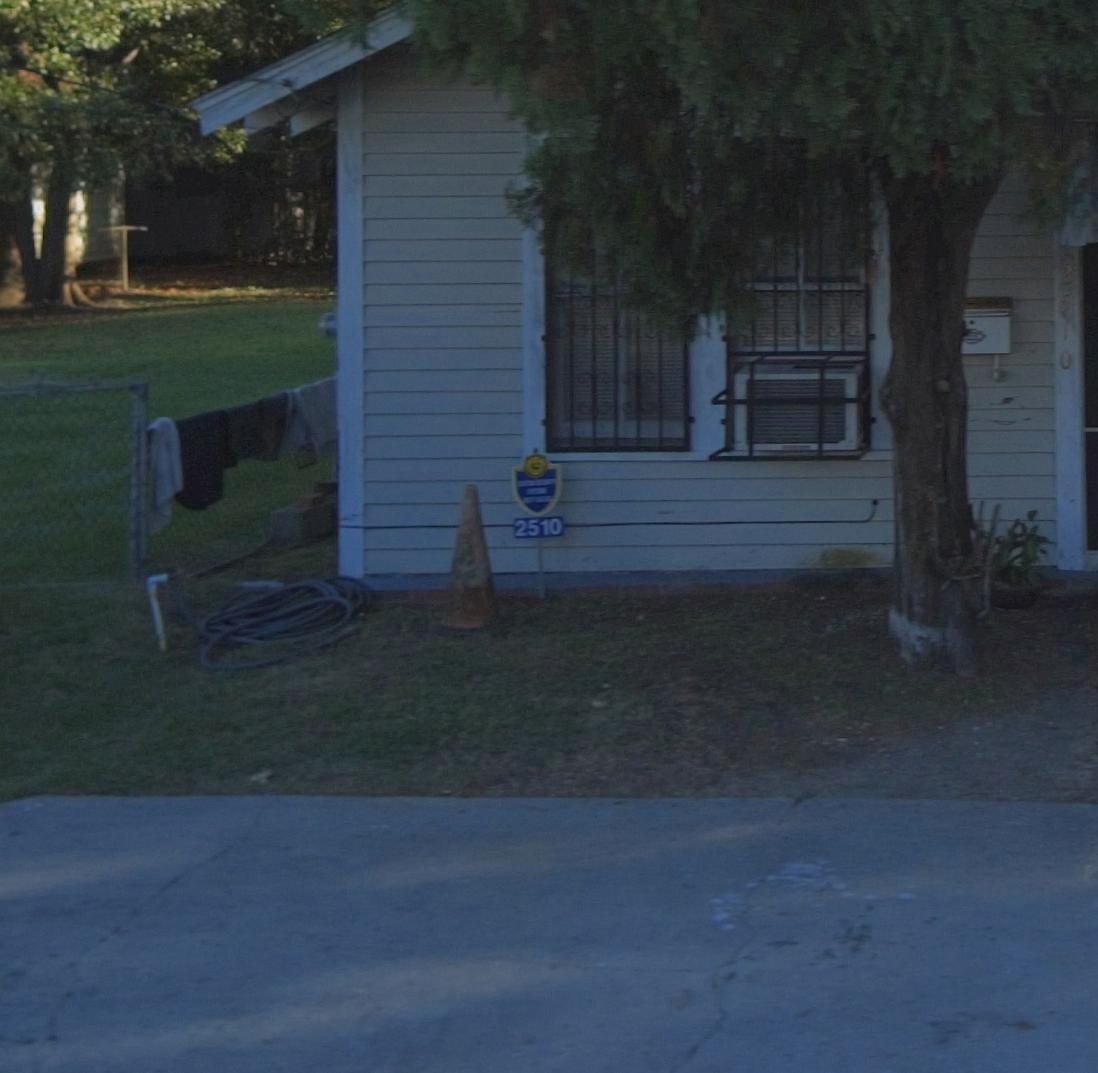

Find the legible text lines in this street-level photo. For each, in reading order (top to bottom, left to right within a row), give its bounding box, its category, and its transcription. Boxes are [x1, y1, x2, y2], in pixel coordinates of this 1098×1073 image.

[1056, 348, 1076, 372] StreetNumber: 0
[513, 516, 564, 539] StreetNumber: 2510